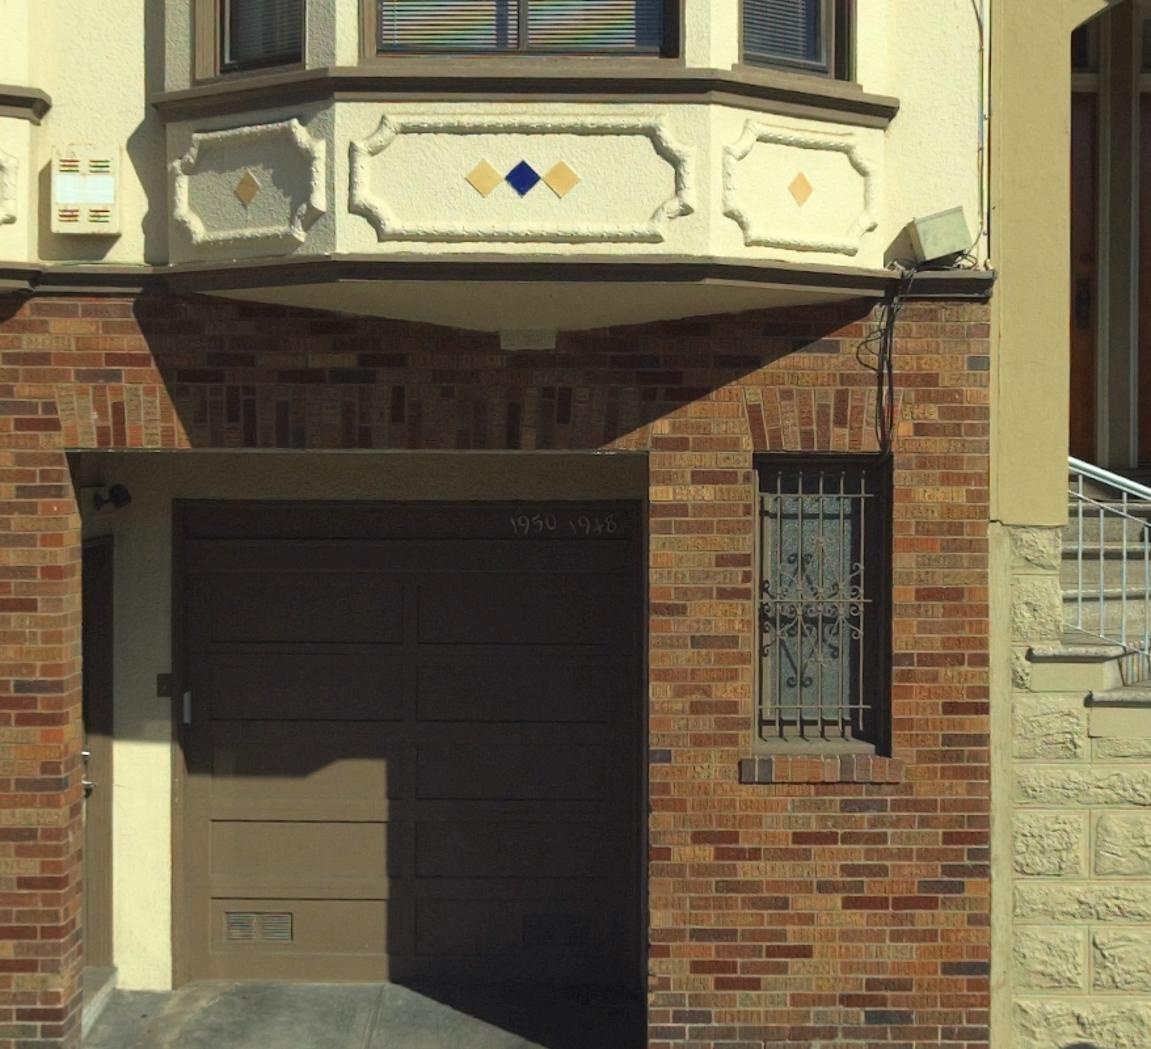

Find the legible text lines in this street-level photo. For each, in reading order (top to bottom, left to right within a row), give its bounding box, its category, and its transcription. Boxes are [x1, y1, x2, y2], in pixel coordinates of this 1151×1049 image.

[508, 510, 559, 537] StreetNumber: 1950
[564, 511, 618, 538] StreetNumber: 1948